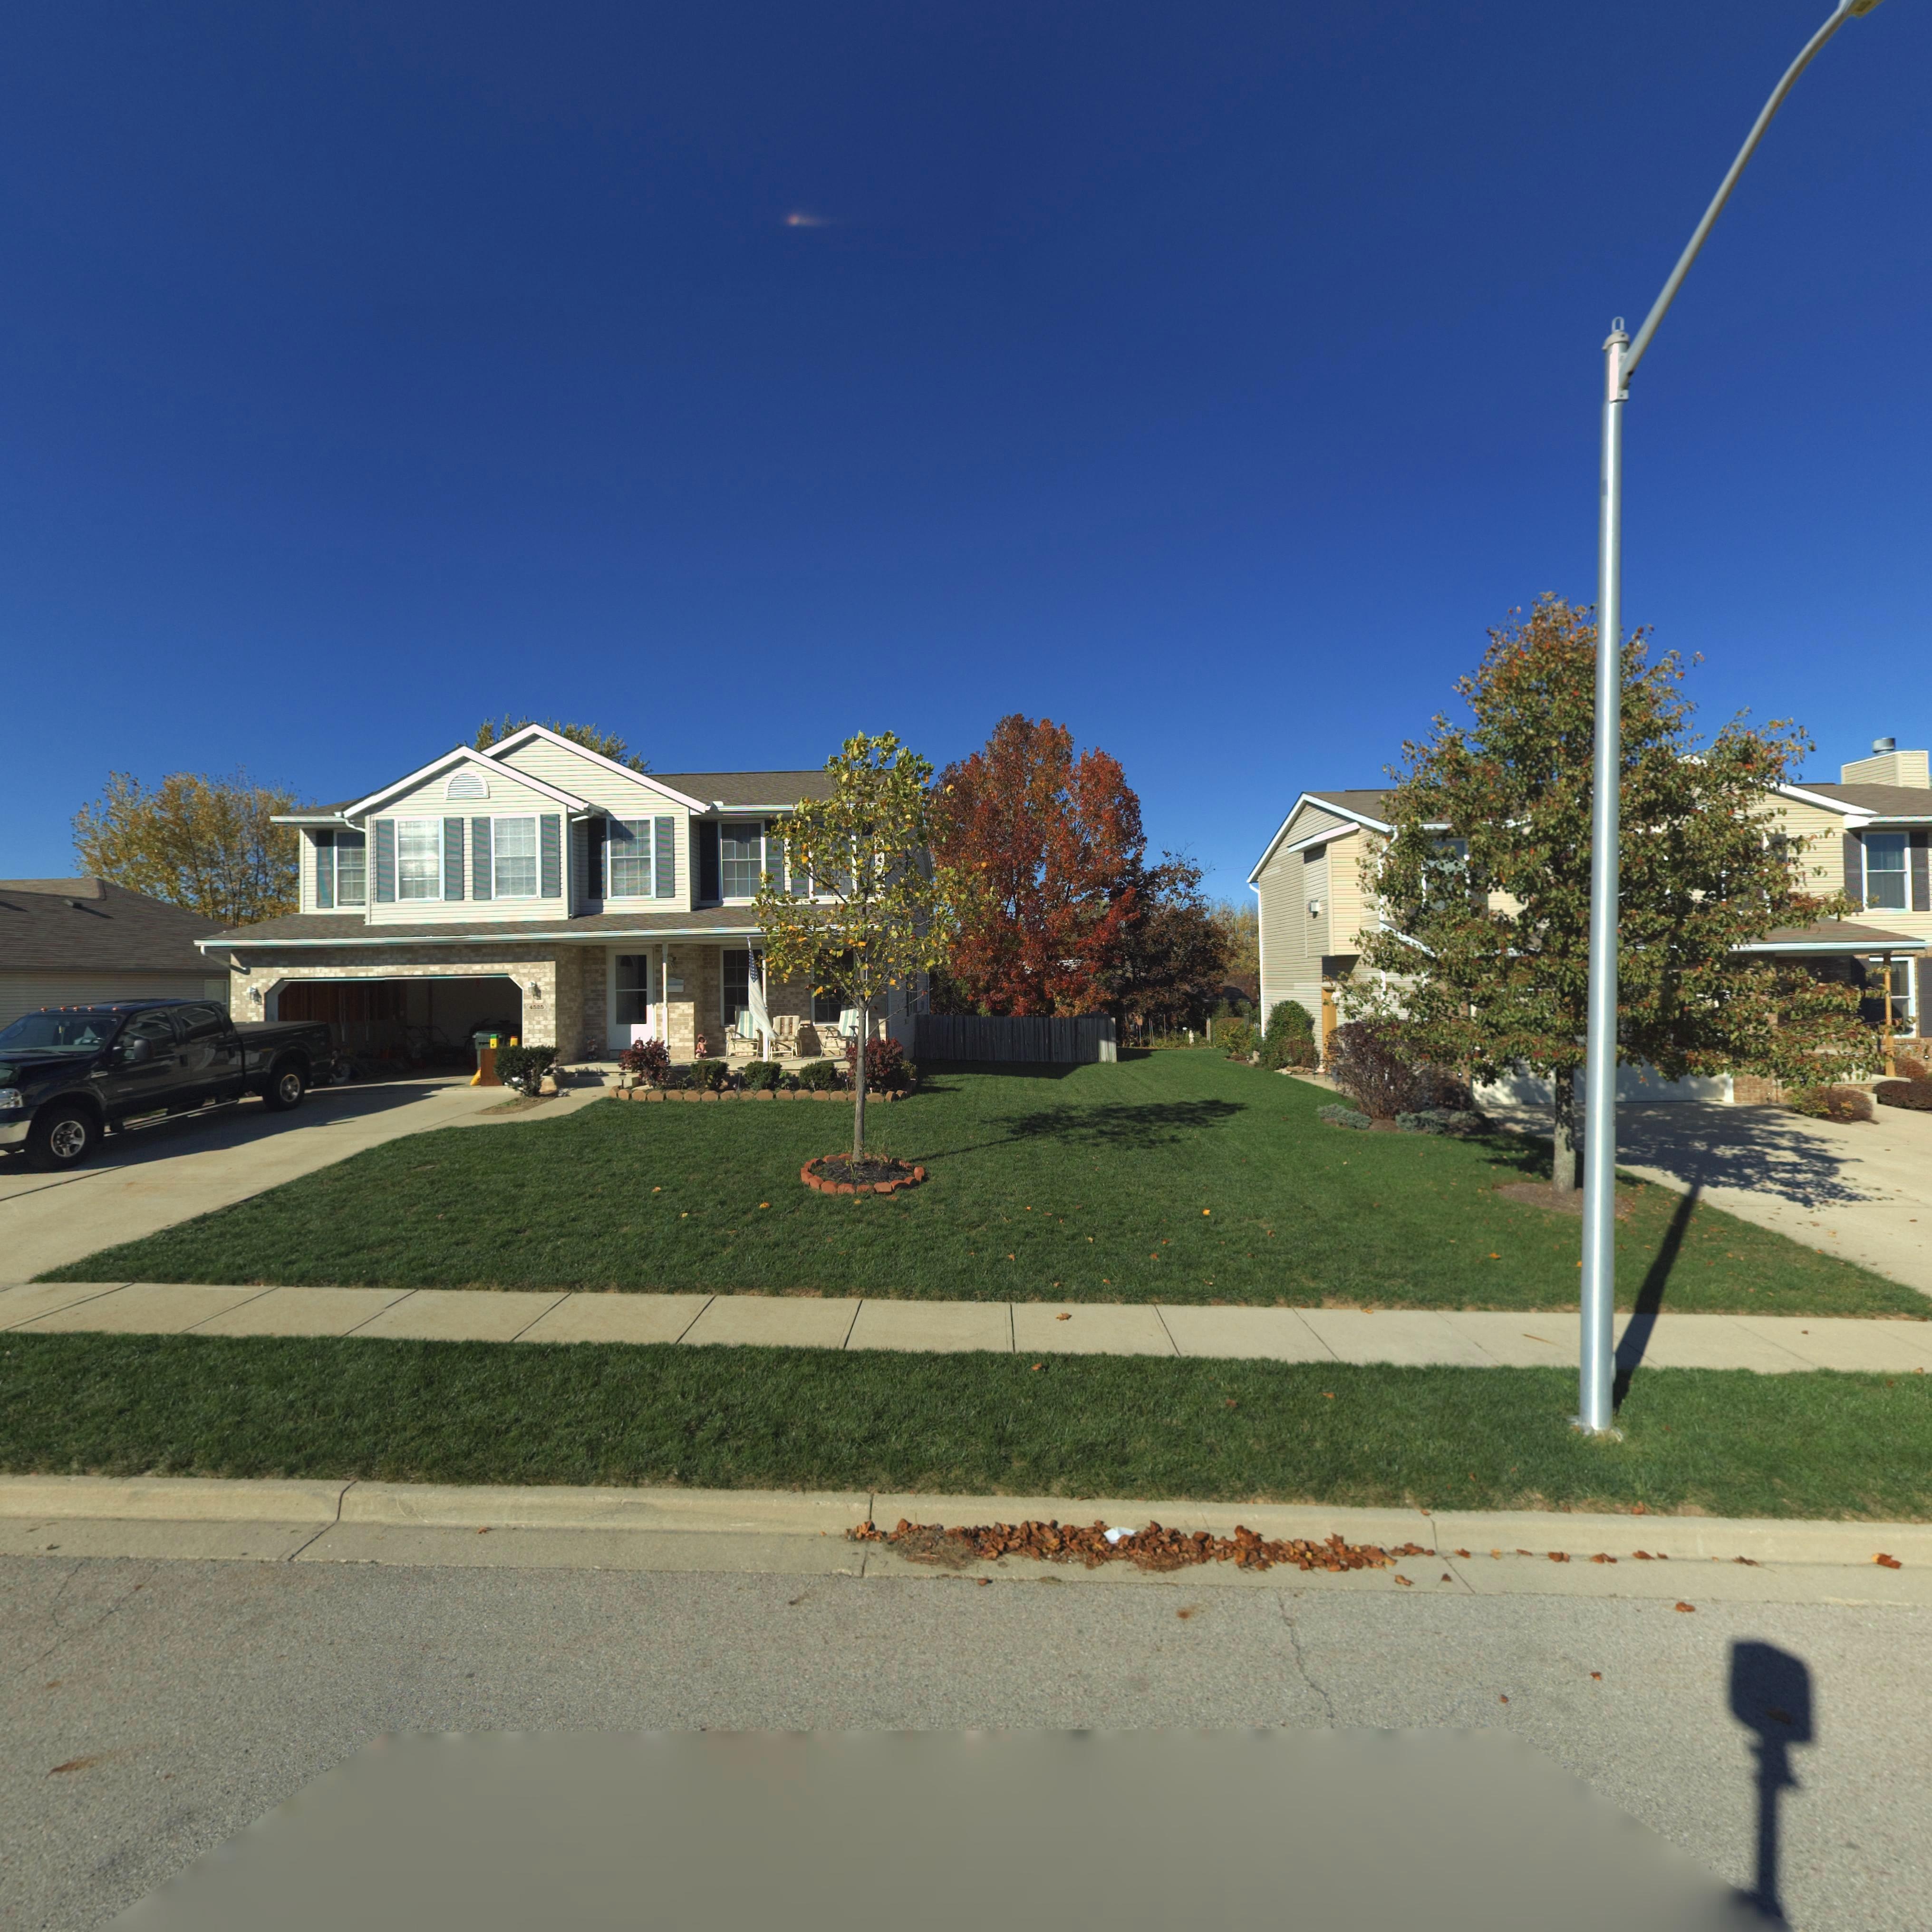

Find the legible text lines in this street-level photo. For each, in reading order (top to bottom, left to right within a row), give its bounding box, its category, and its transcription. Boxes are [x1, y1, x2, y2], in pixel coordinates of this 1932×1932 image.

[528, 1004, 545, 1010] StreetNumber: 4525